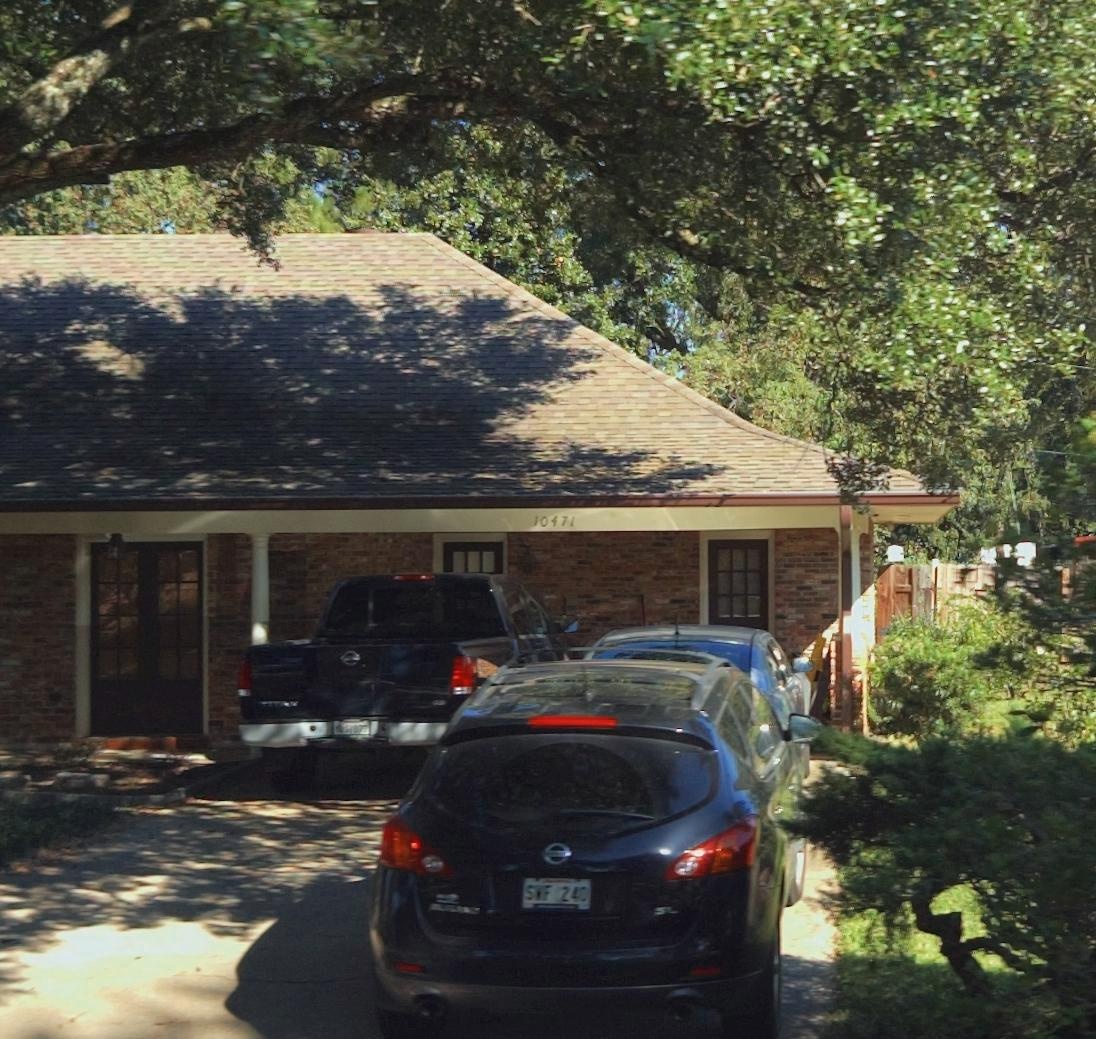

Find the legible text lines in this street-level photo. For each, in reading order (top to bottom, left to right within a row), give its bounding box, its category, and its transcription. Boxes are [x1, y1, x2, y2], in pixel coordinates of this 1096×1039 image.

[531, 514, 578, 529] StreetNumber: 10471
[521, 880, 591, 907] None: SWF*240